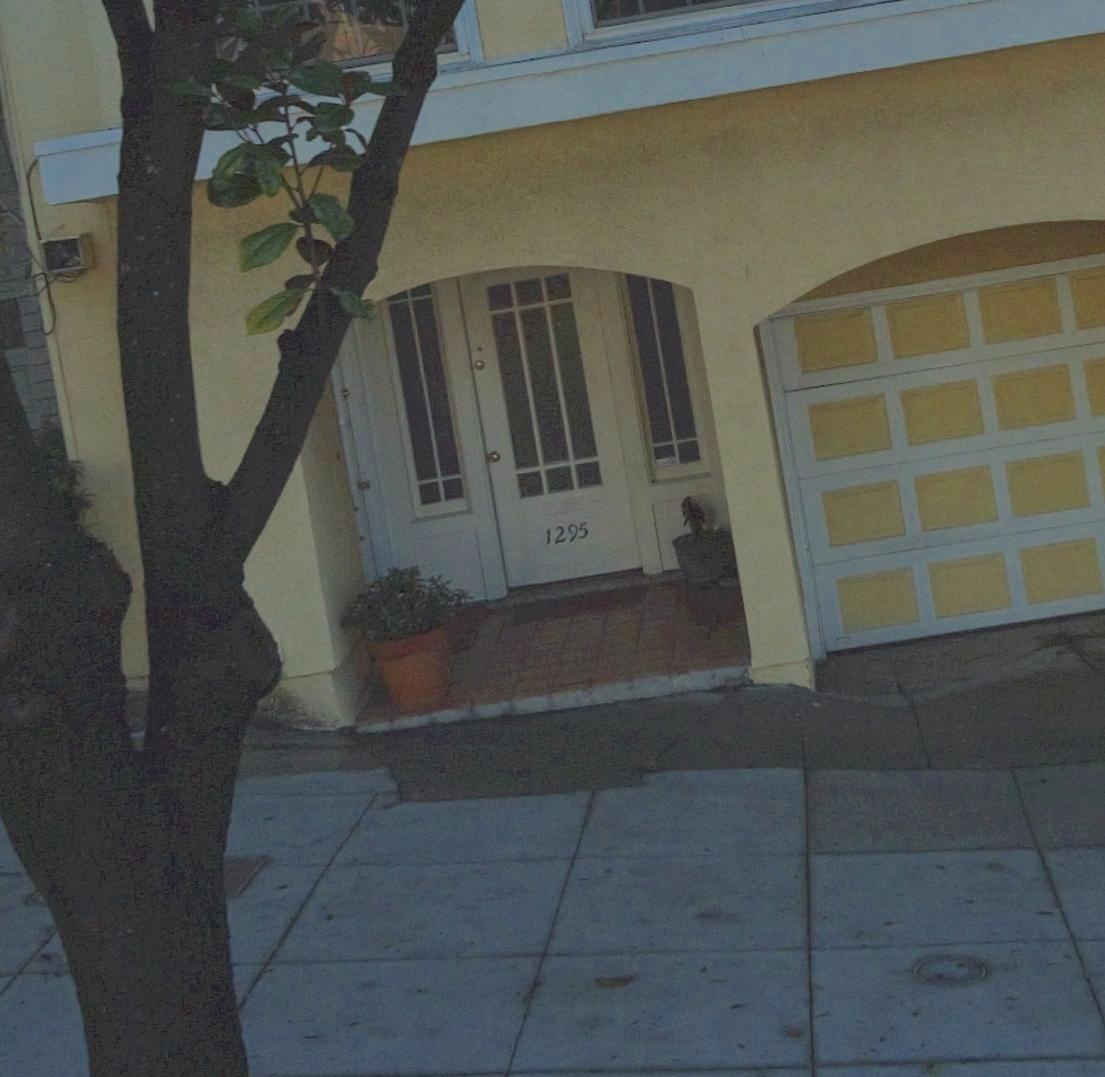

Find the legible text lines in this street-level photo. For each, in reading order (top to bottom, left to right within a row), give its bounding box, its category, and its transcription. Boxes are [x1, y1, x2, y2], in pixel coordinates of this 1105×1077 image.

[544, 520, 591, 548] StreetNumber: 1295